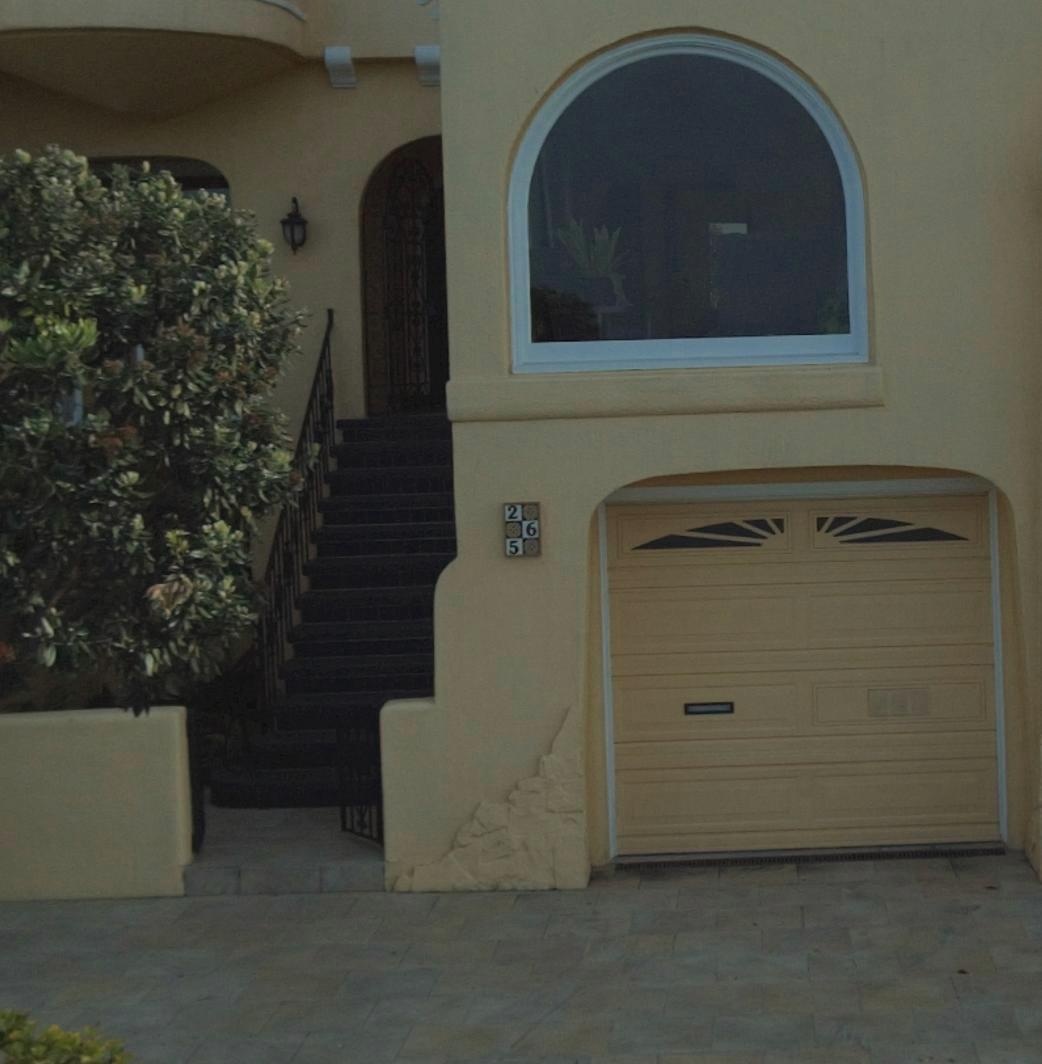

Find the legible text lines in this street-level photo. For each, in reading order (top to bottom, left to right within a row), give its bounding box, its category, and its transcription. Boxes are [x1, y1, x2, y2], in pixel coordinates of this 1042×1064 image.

[505, 503, 520, 521] StreetNumber: 265
[524, 520, 538, 538] StreetNumber: 6
[507, 538, 521, 557] StreetNumber: 5